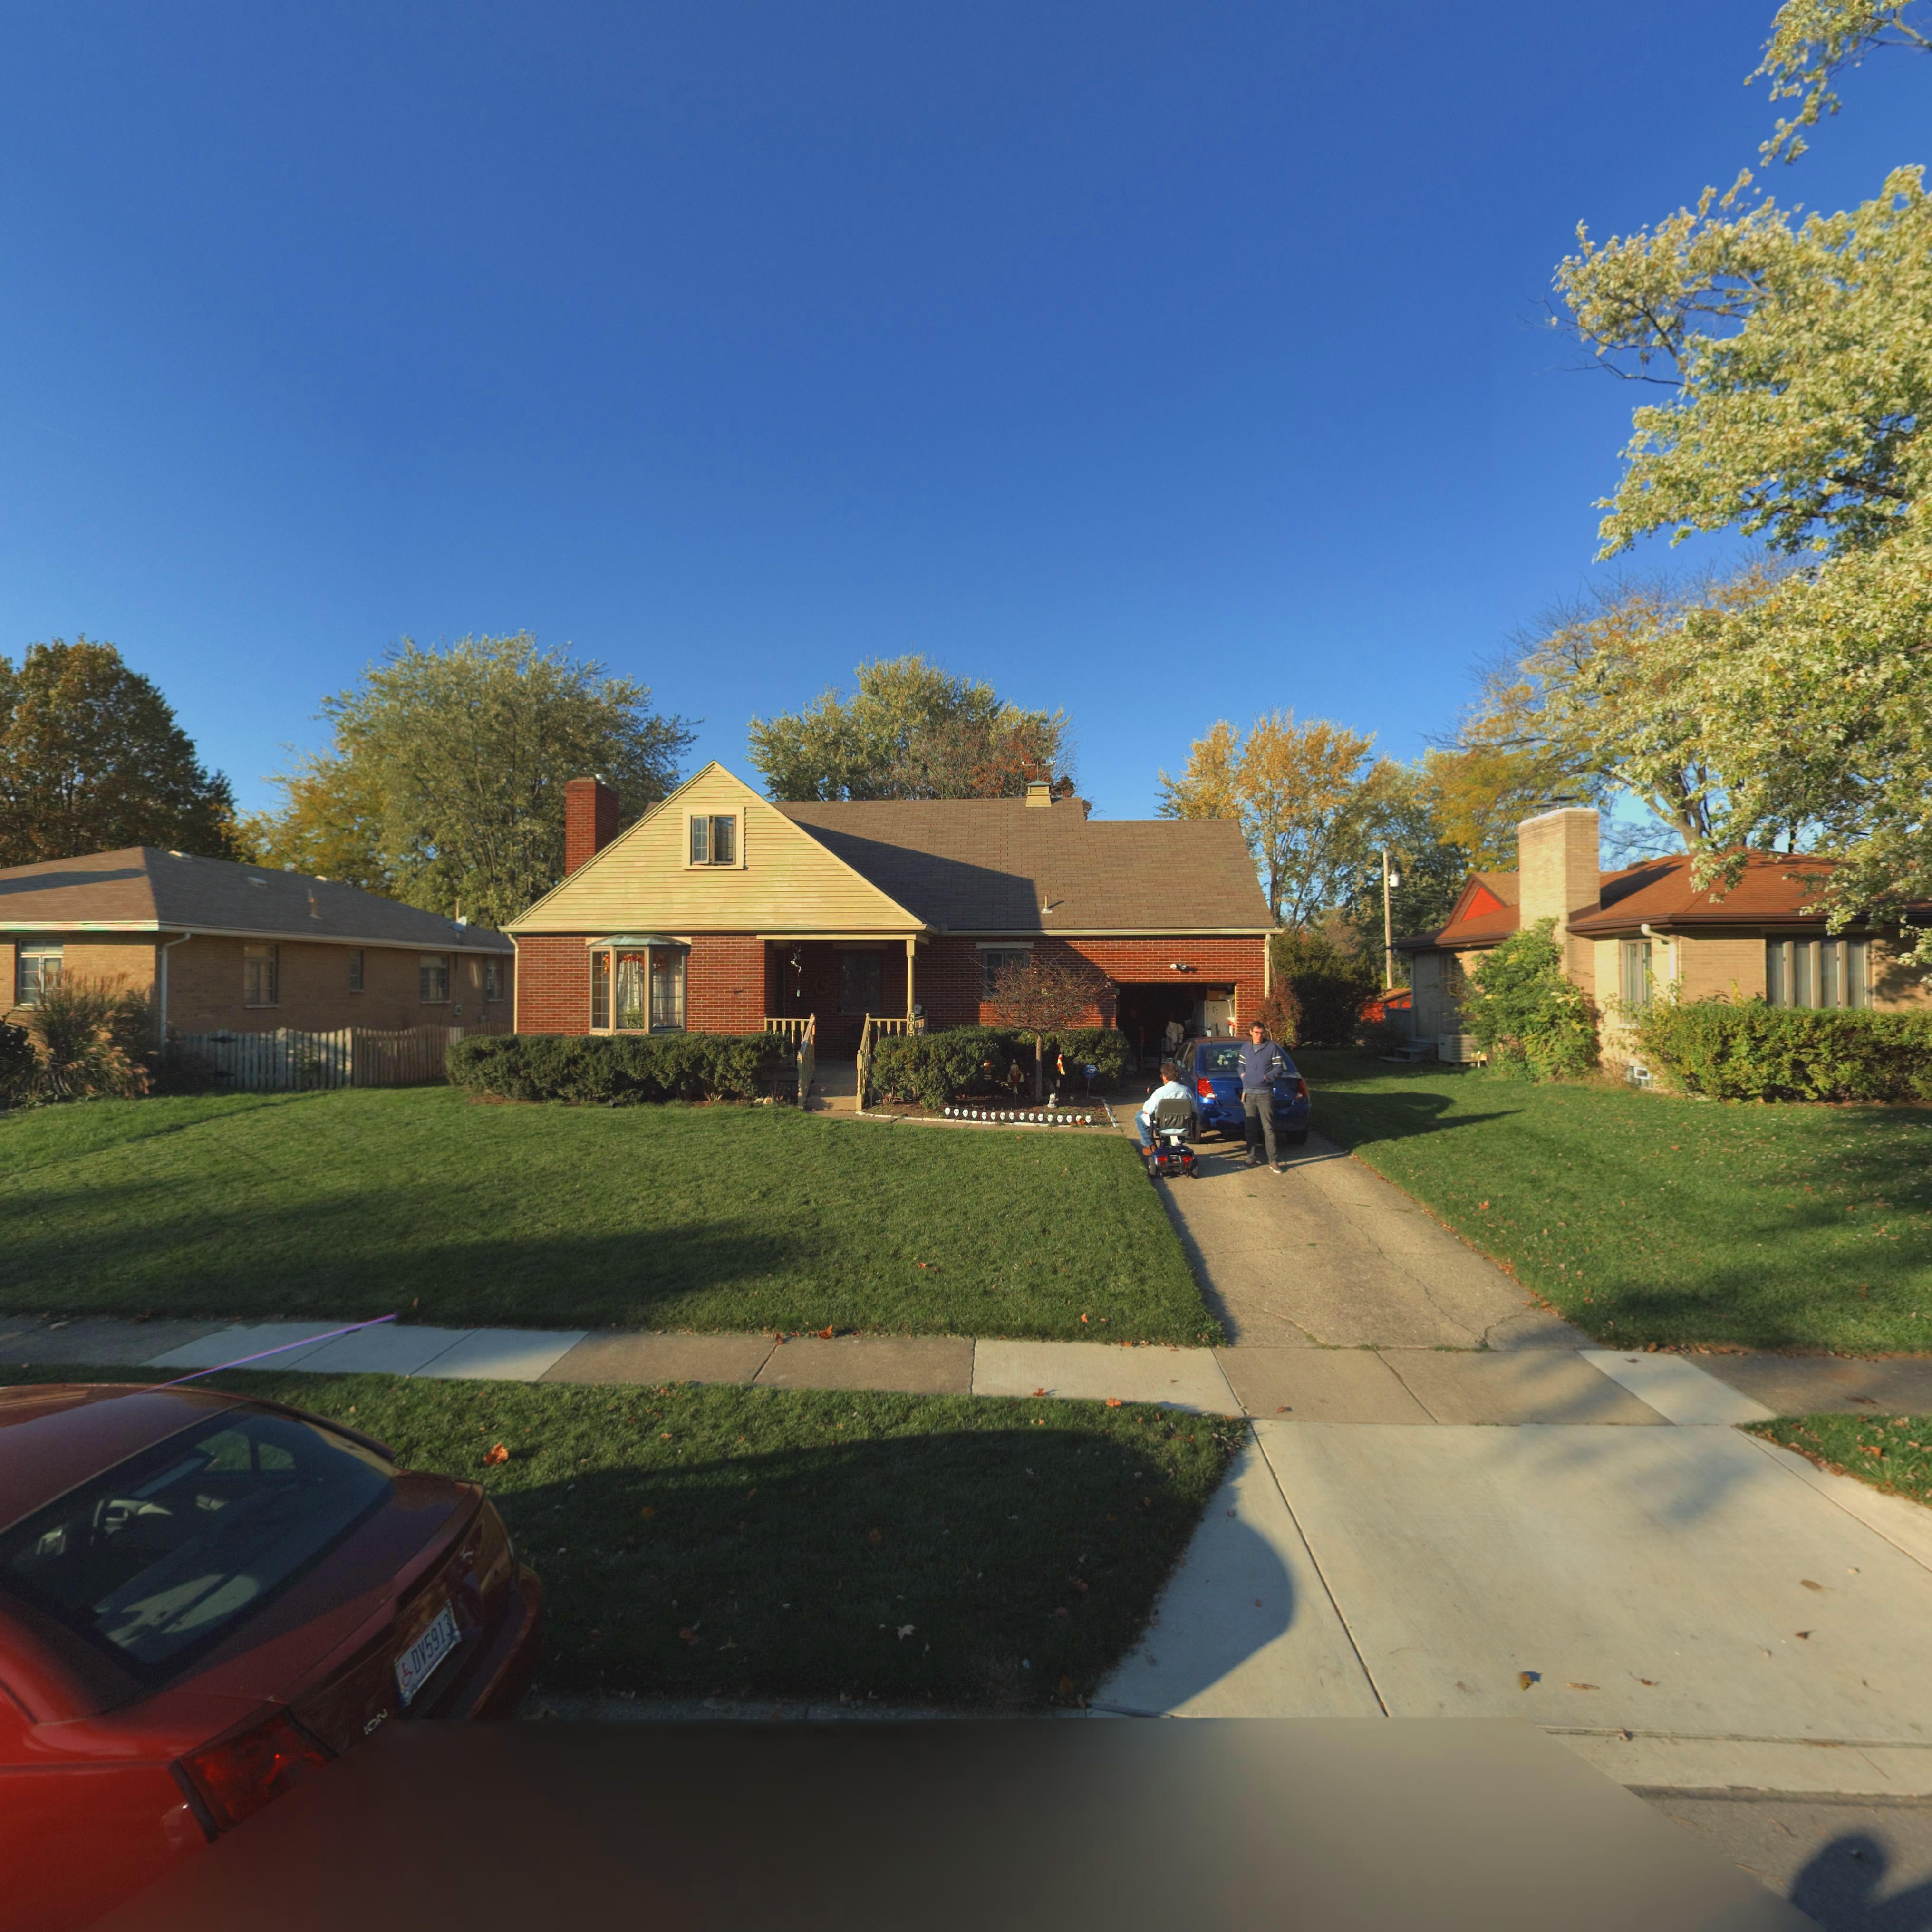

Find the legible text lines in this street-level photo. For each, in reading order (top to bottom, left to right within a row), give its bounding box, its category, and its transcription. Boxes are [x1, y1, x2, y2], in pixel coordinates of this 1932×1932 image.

[907, 1013, 915, 1033] StreetNumber: 60